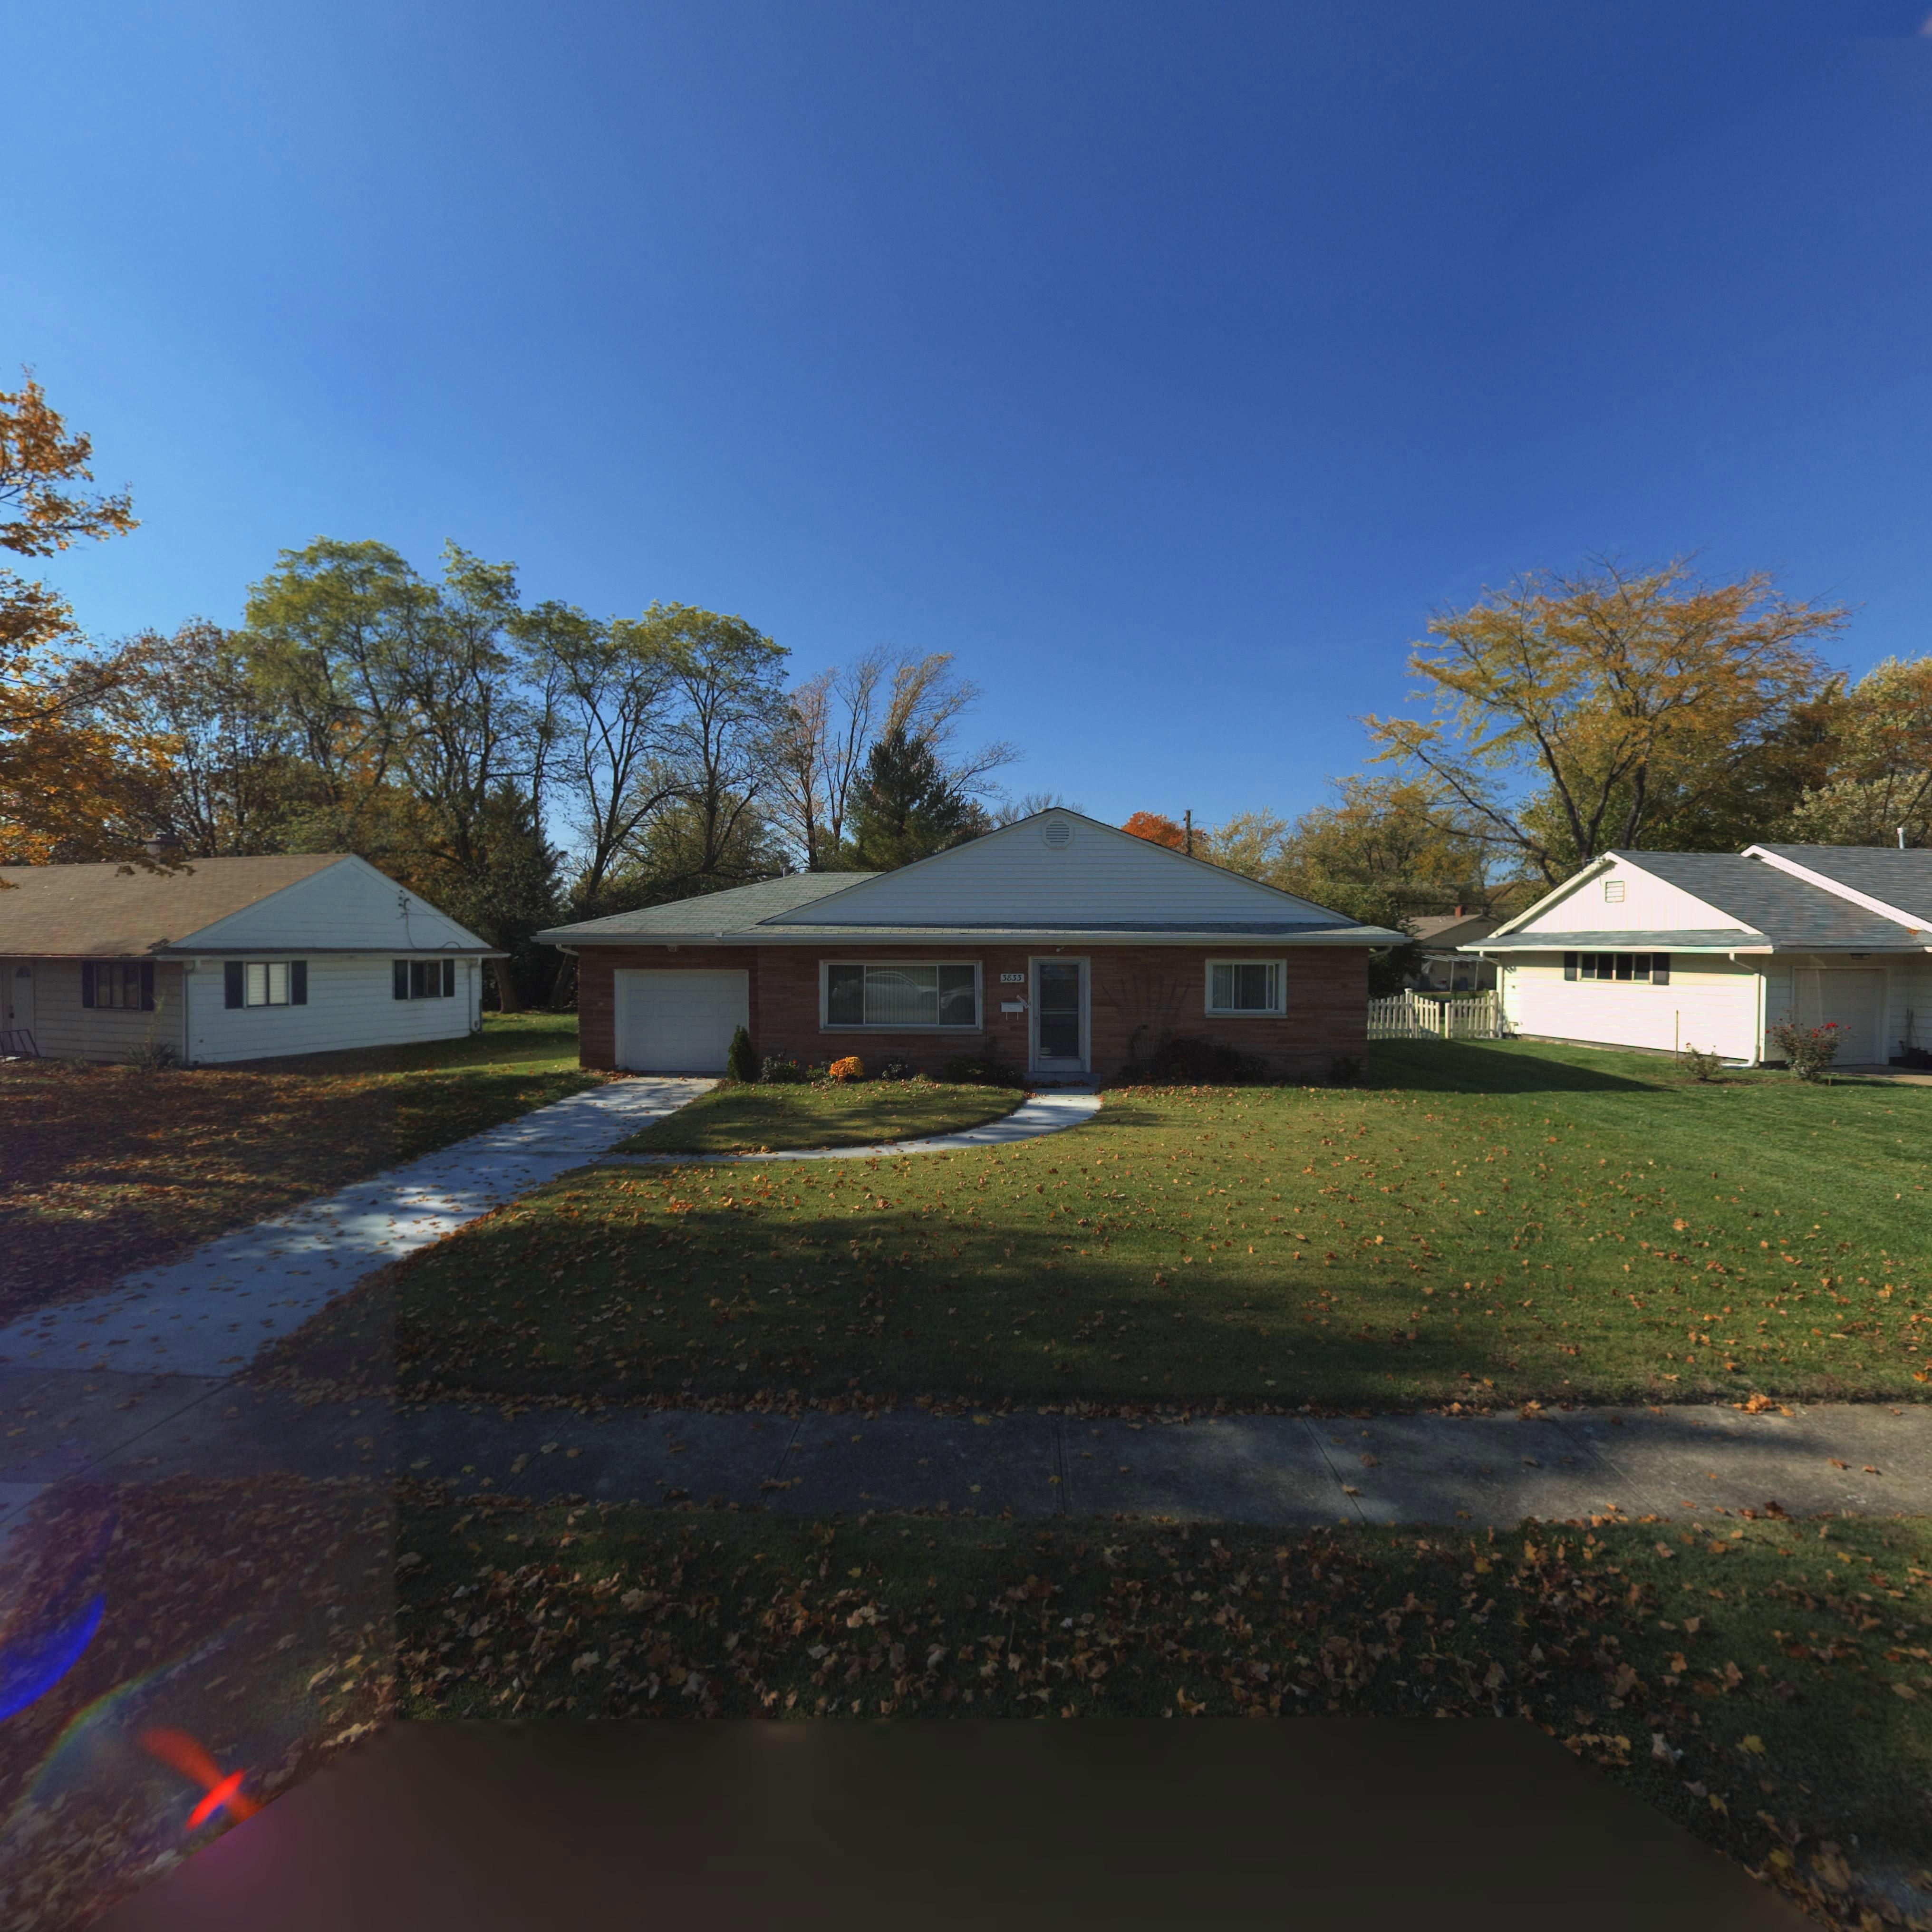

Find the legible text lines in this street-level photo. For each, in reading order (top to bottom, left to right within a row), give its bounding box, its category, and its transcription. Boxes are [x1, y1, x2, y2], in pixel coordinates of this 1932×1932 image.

[1001, 974, 1022, 982] StreetNumber: 3833